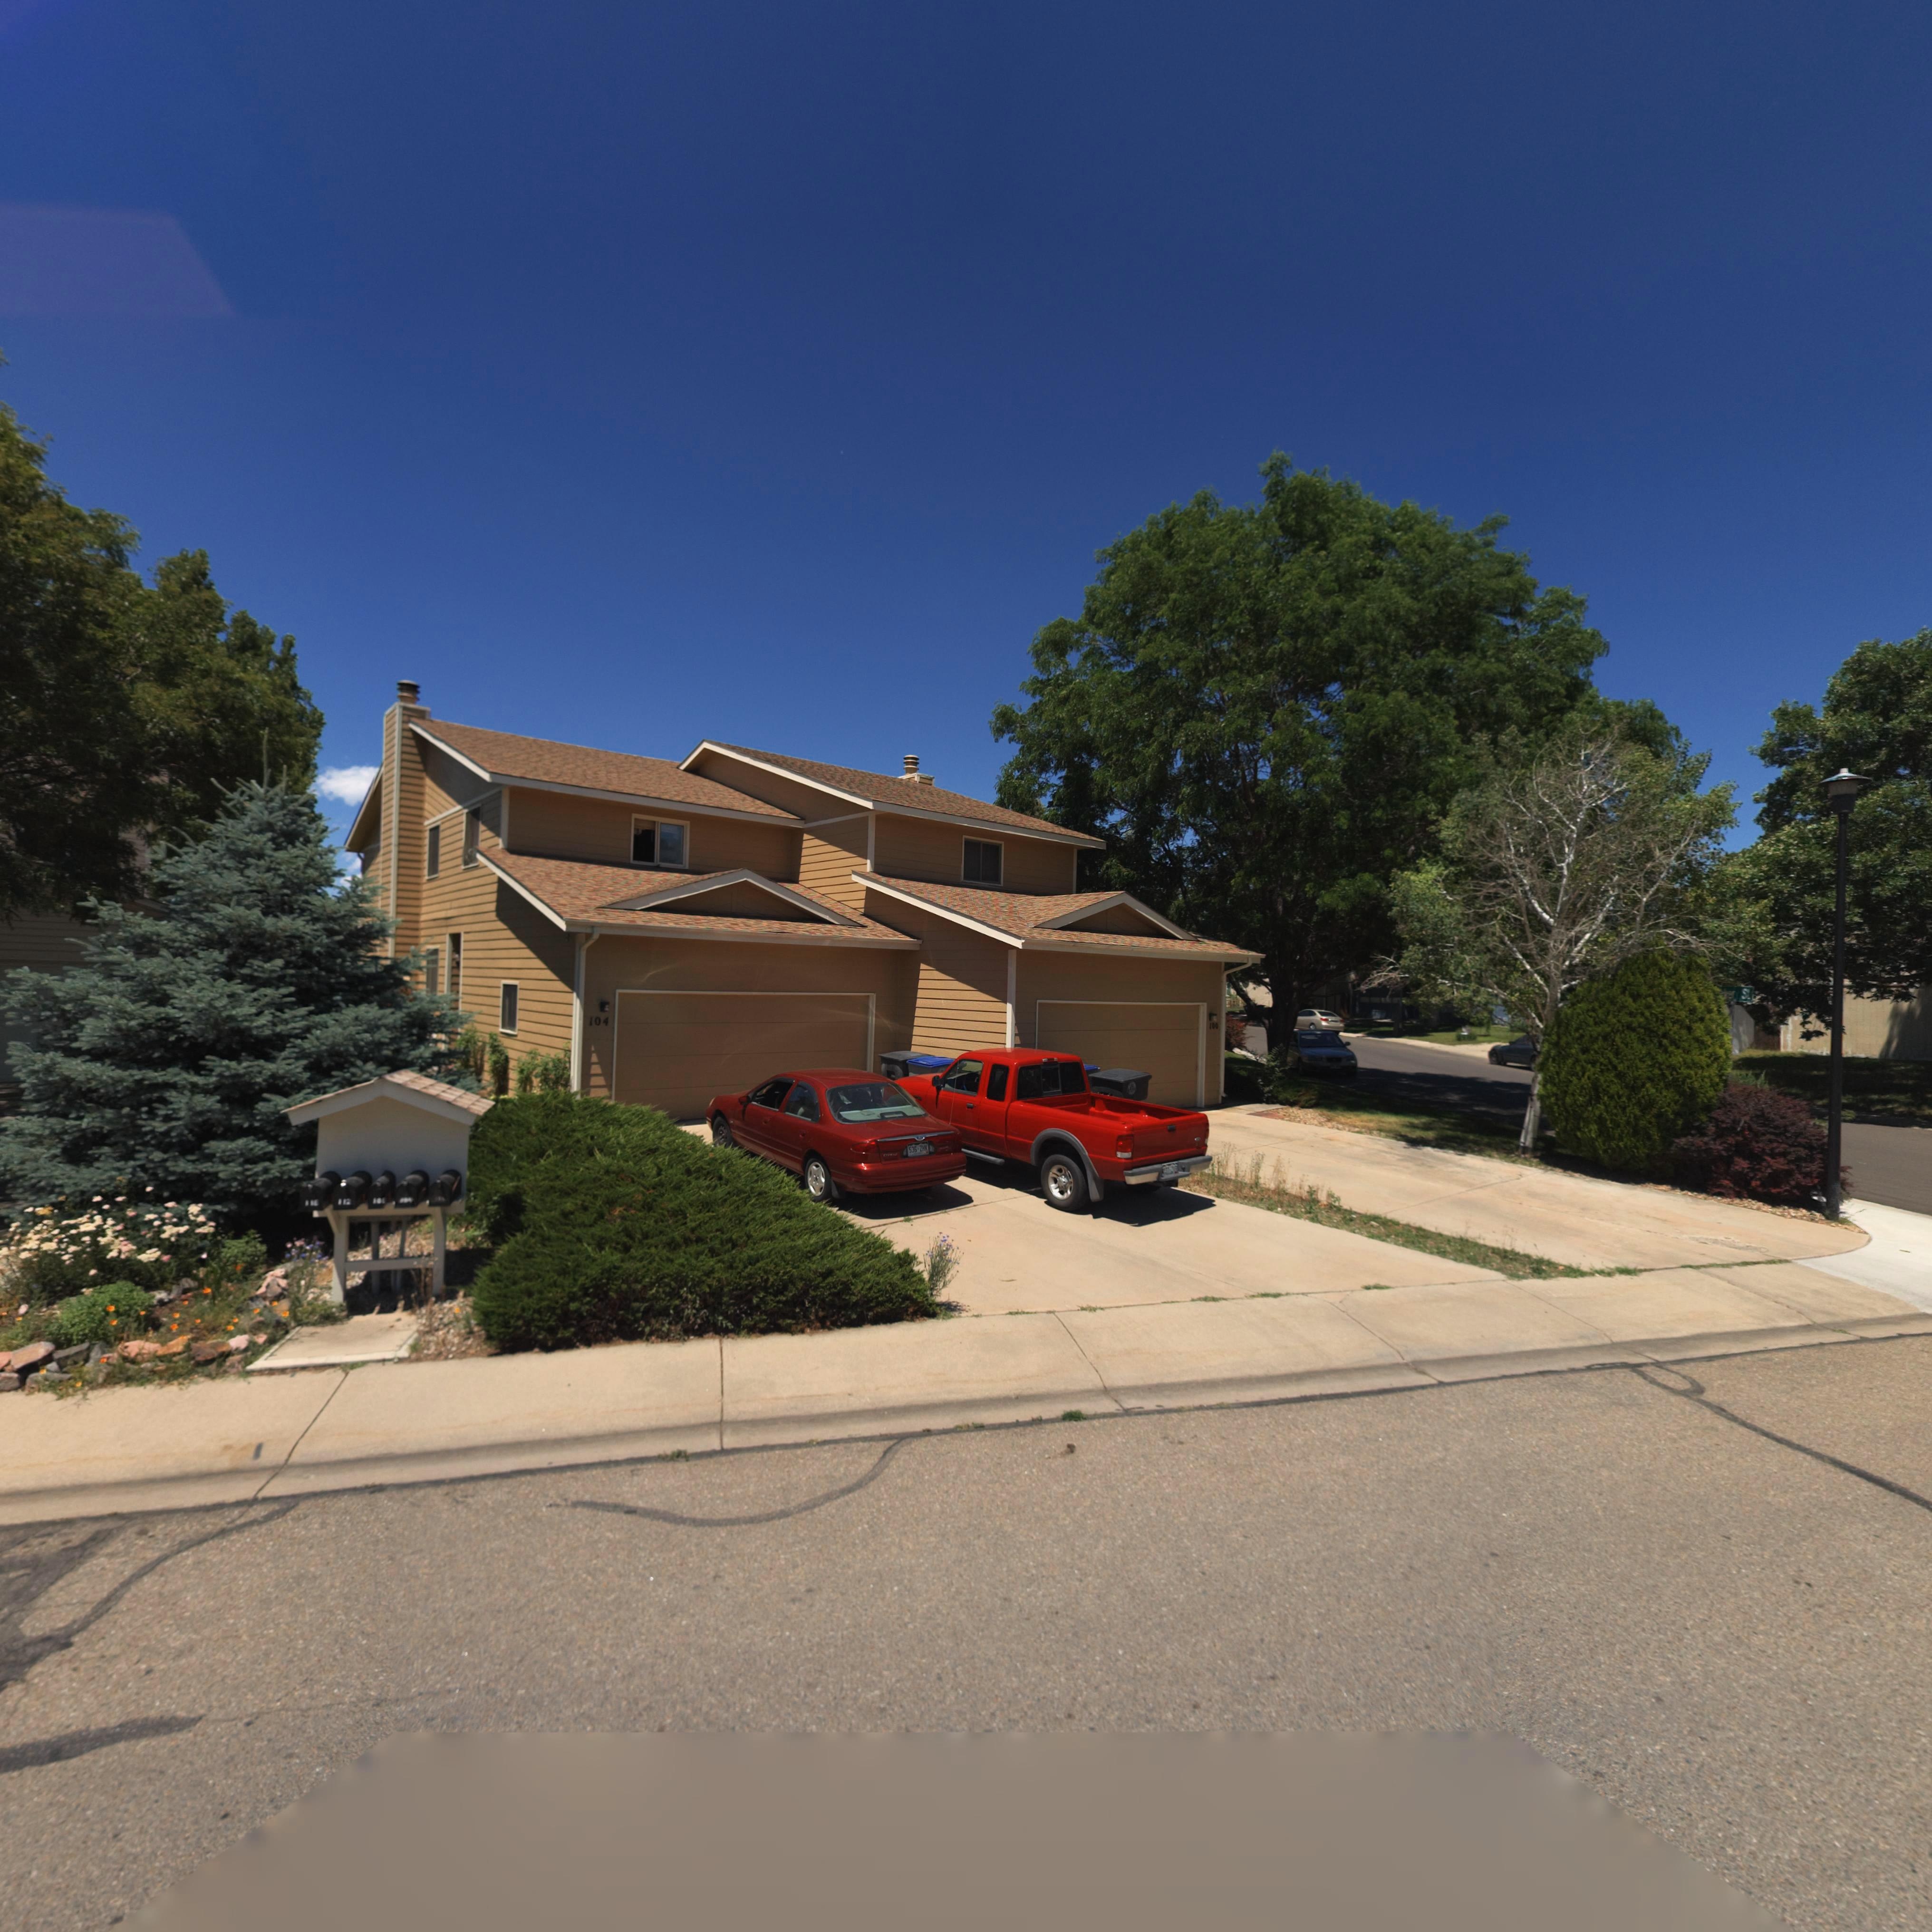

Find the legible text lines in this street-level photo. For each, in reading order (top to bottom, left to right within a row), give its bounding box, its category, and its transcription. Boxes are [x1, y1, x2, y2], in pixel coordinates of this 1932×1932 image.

[588, 1016, 609, 1026] StreetNumber: 104
[1208, 1022, 1218, 1029] StreetNumber: 100
[304, 1199, 319, 1206] StreetNumber: 116
[337, 1198, 350, 1205] StreetNumber: 112
[372, 1197, 382, 1204] StreetNumber: 10
[398, 1197, 412, 1203] StreetNumber: **4